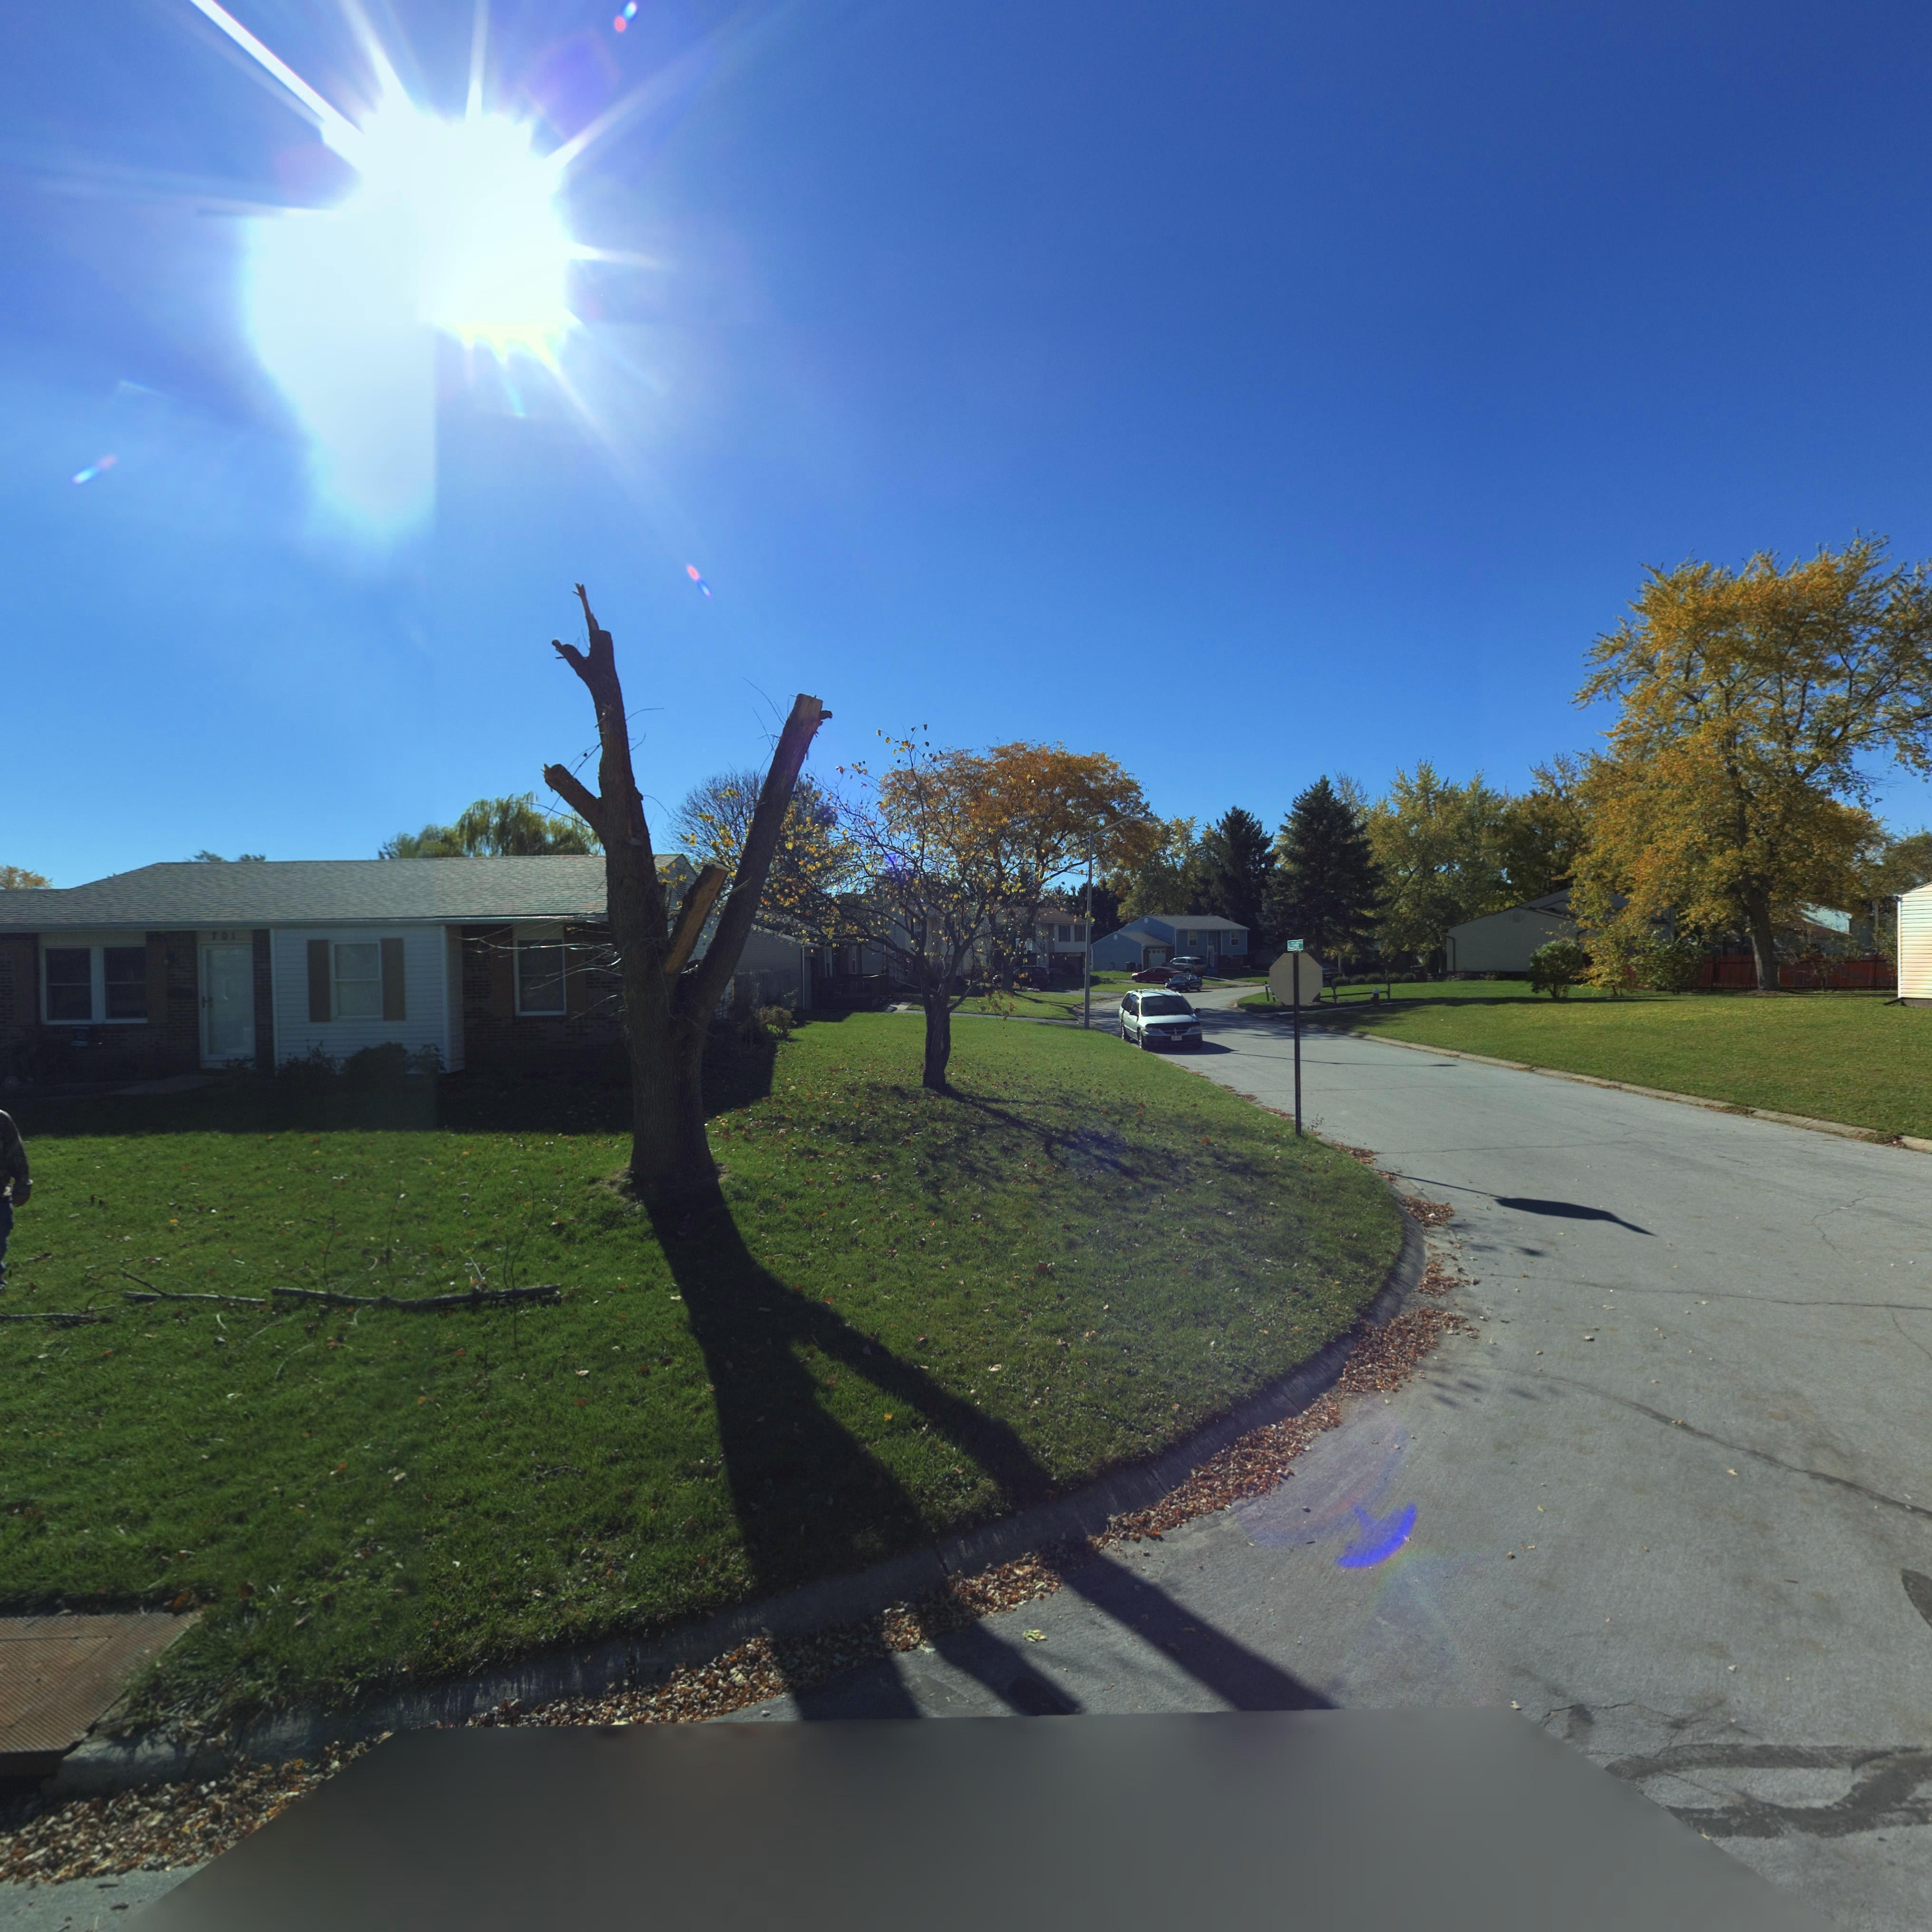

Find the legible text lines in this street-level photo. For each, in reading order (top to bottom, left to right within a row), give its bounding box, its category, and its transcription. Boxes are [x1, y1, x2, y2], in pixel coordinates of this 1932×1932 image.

[211, 930, 235, 940] StreetNumber: 701